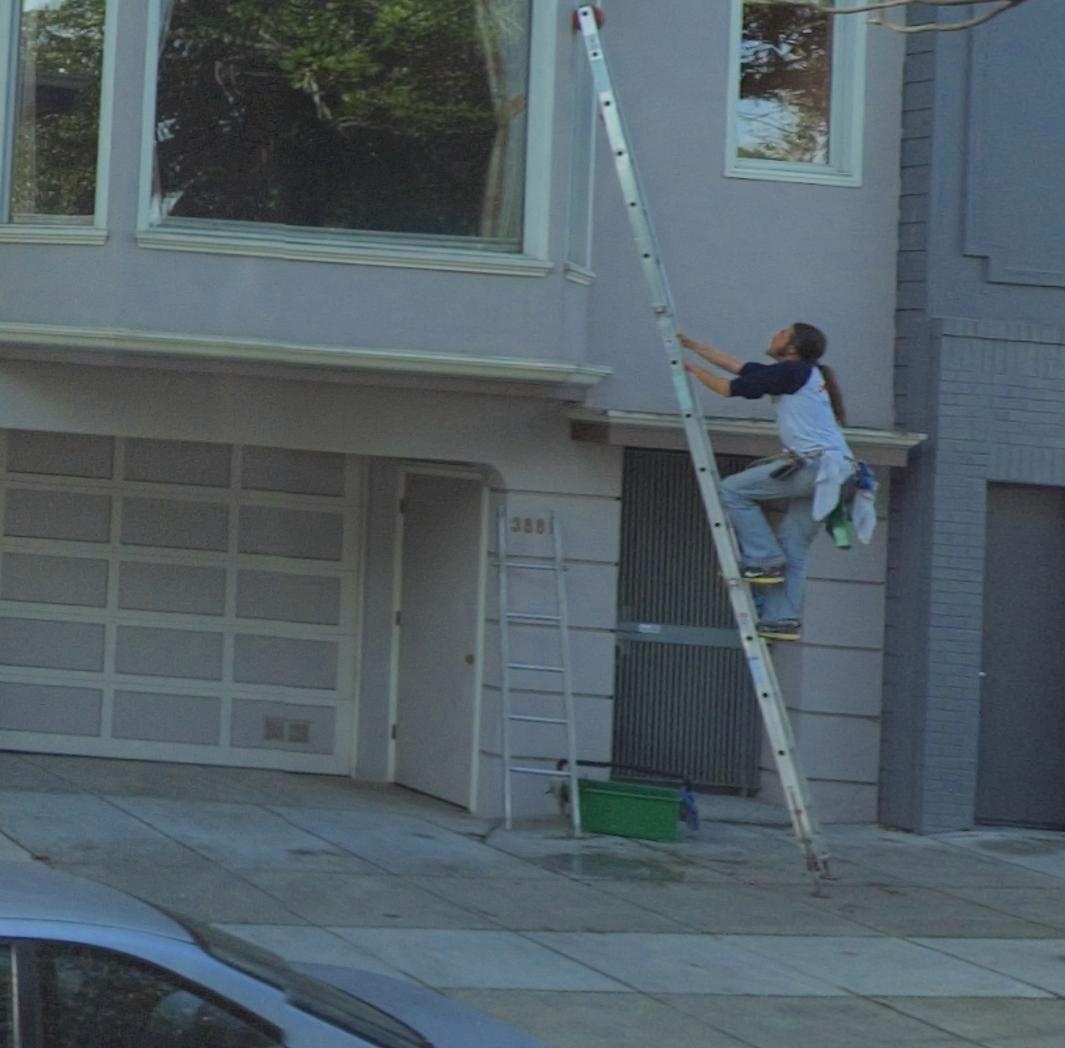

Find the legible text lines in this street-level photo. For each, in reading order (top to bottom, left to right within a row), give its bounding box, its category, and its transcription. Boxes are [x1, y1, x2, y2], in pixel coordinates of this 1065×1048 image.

[509, 517, 565, 535] StreetNumber: 388*